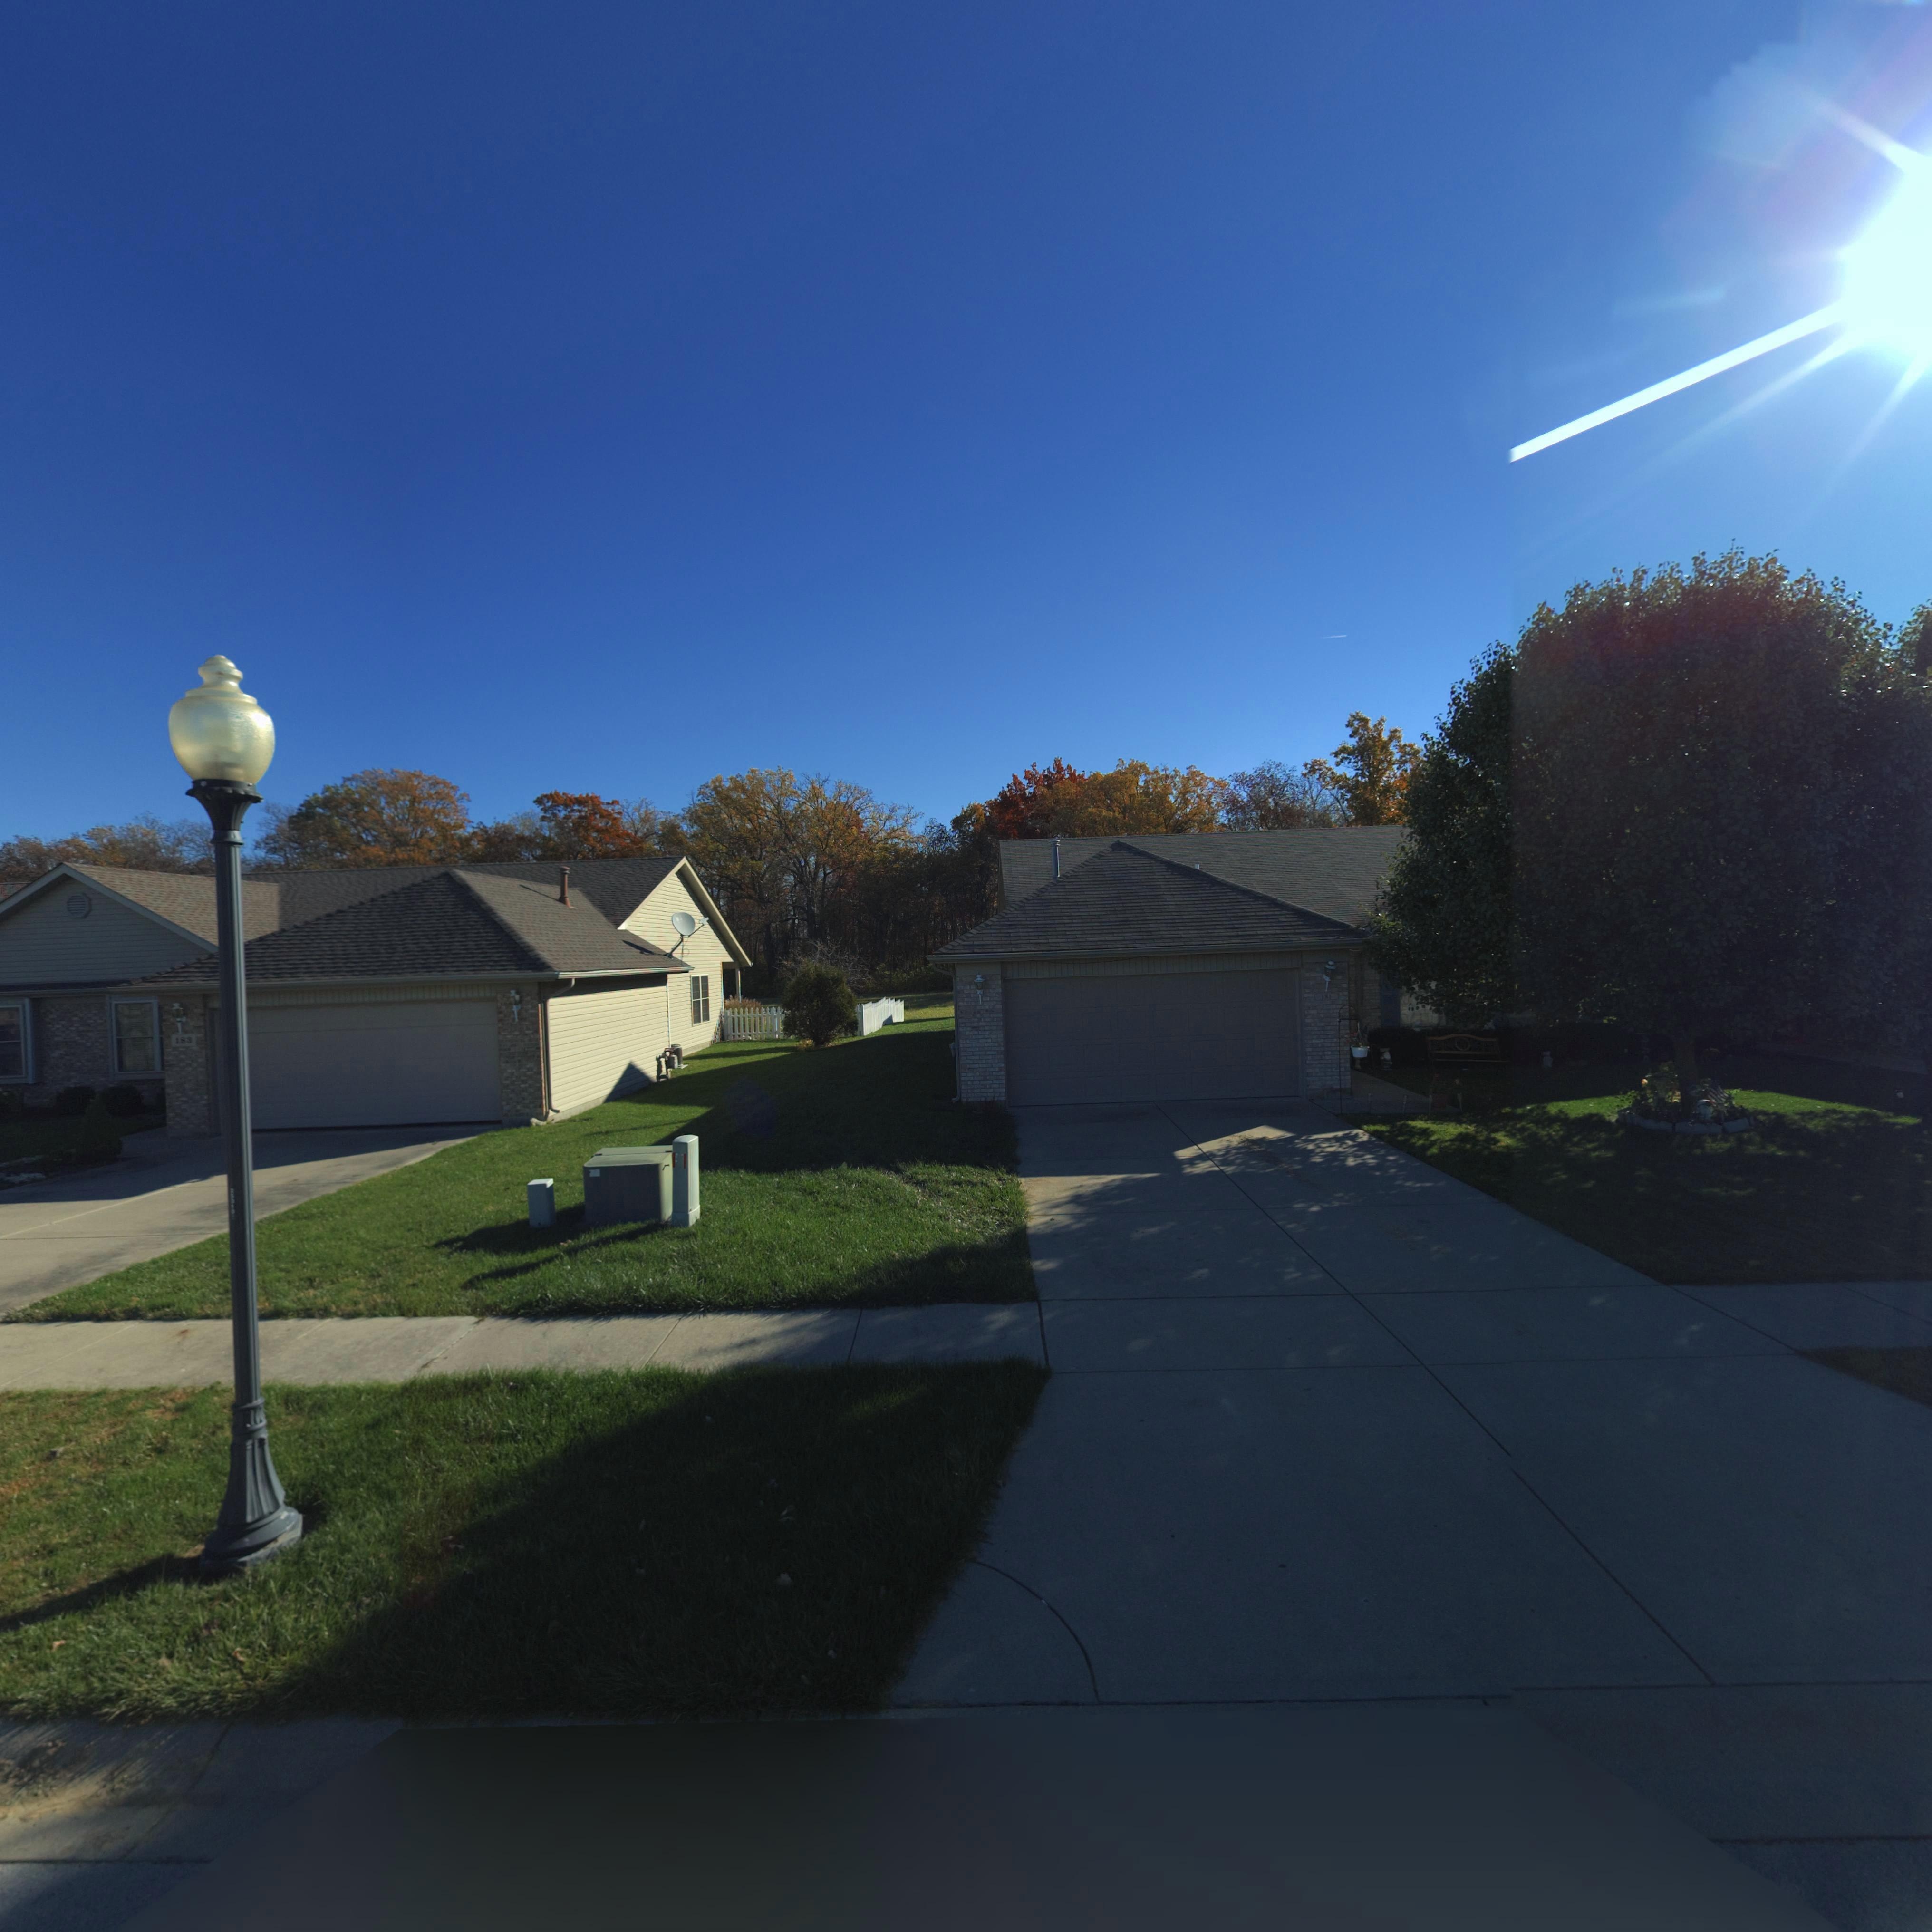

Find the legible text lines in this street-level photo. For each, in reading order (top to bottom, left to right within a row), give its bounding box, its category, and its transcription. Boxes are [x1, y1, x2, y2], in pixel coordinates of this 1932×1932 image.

[1321, 993, 1332, 1001] StreetNumber: 181
[174, 1035, 193, 1045] StreetNumber: 183